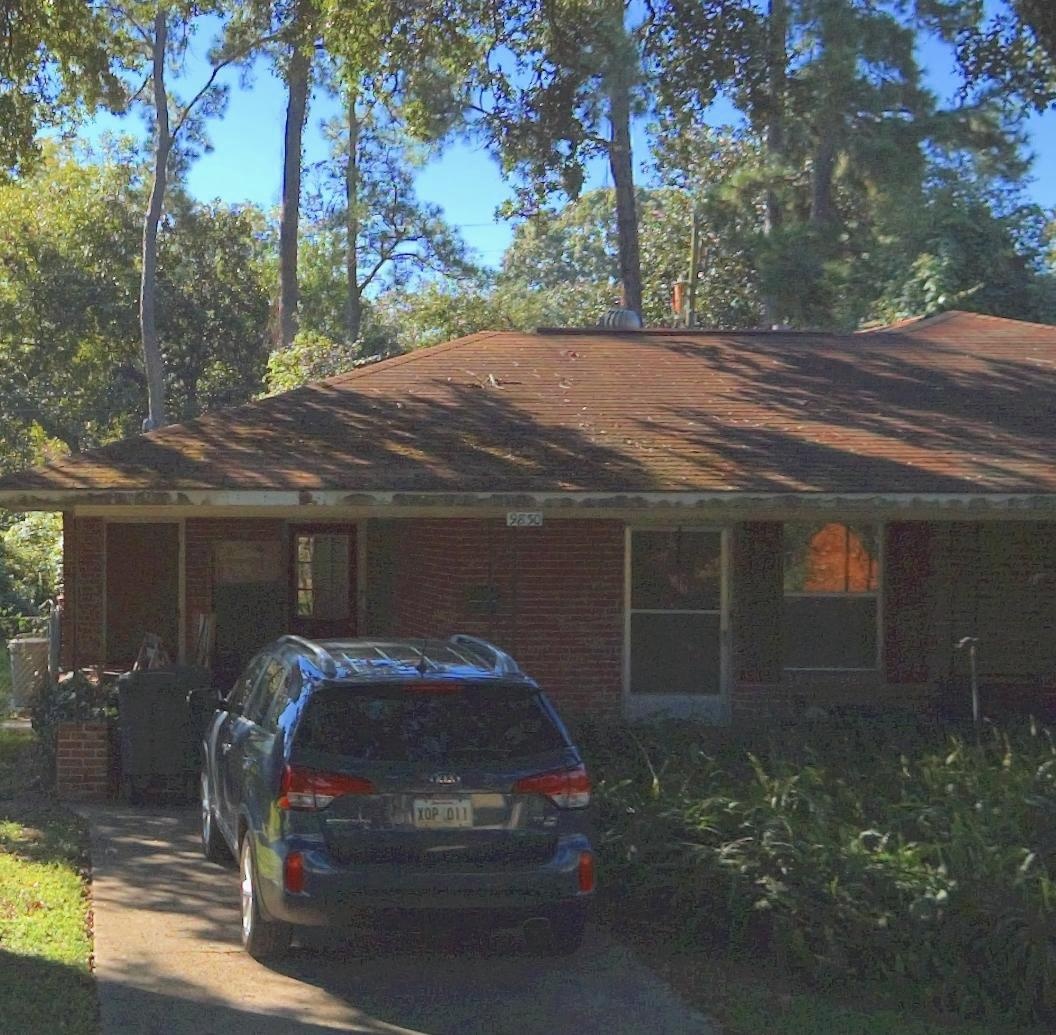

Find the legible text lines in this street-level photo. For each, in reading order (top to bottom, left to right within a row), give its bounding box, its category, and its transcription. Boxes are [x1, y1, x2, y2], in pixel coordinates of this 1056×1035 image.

[507, 511, 543, 527] StreetNumber: 9830
[413, 802, 471, 825] None: XOP*011